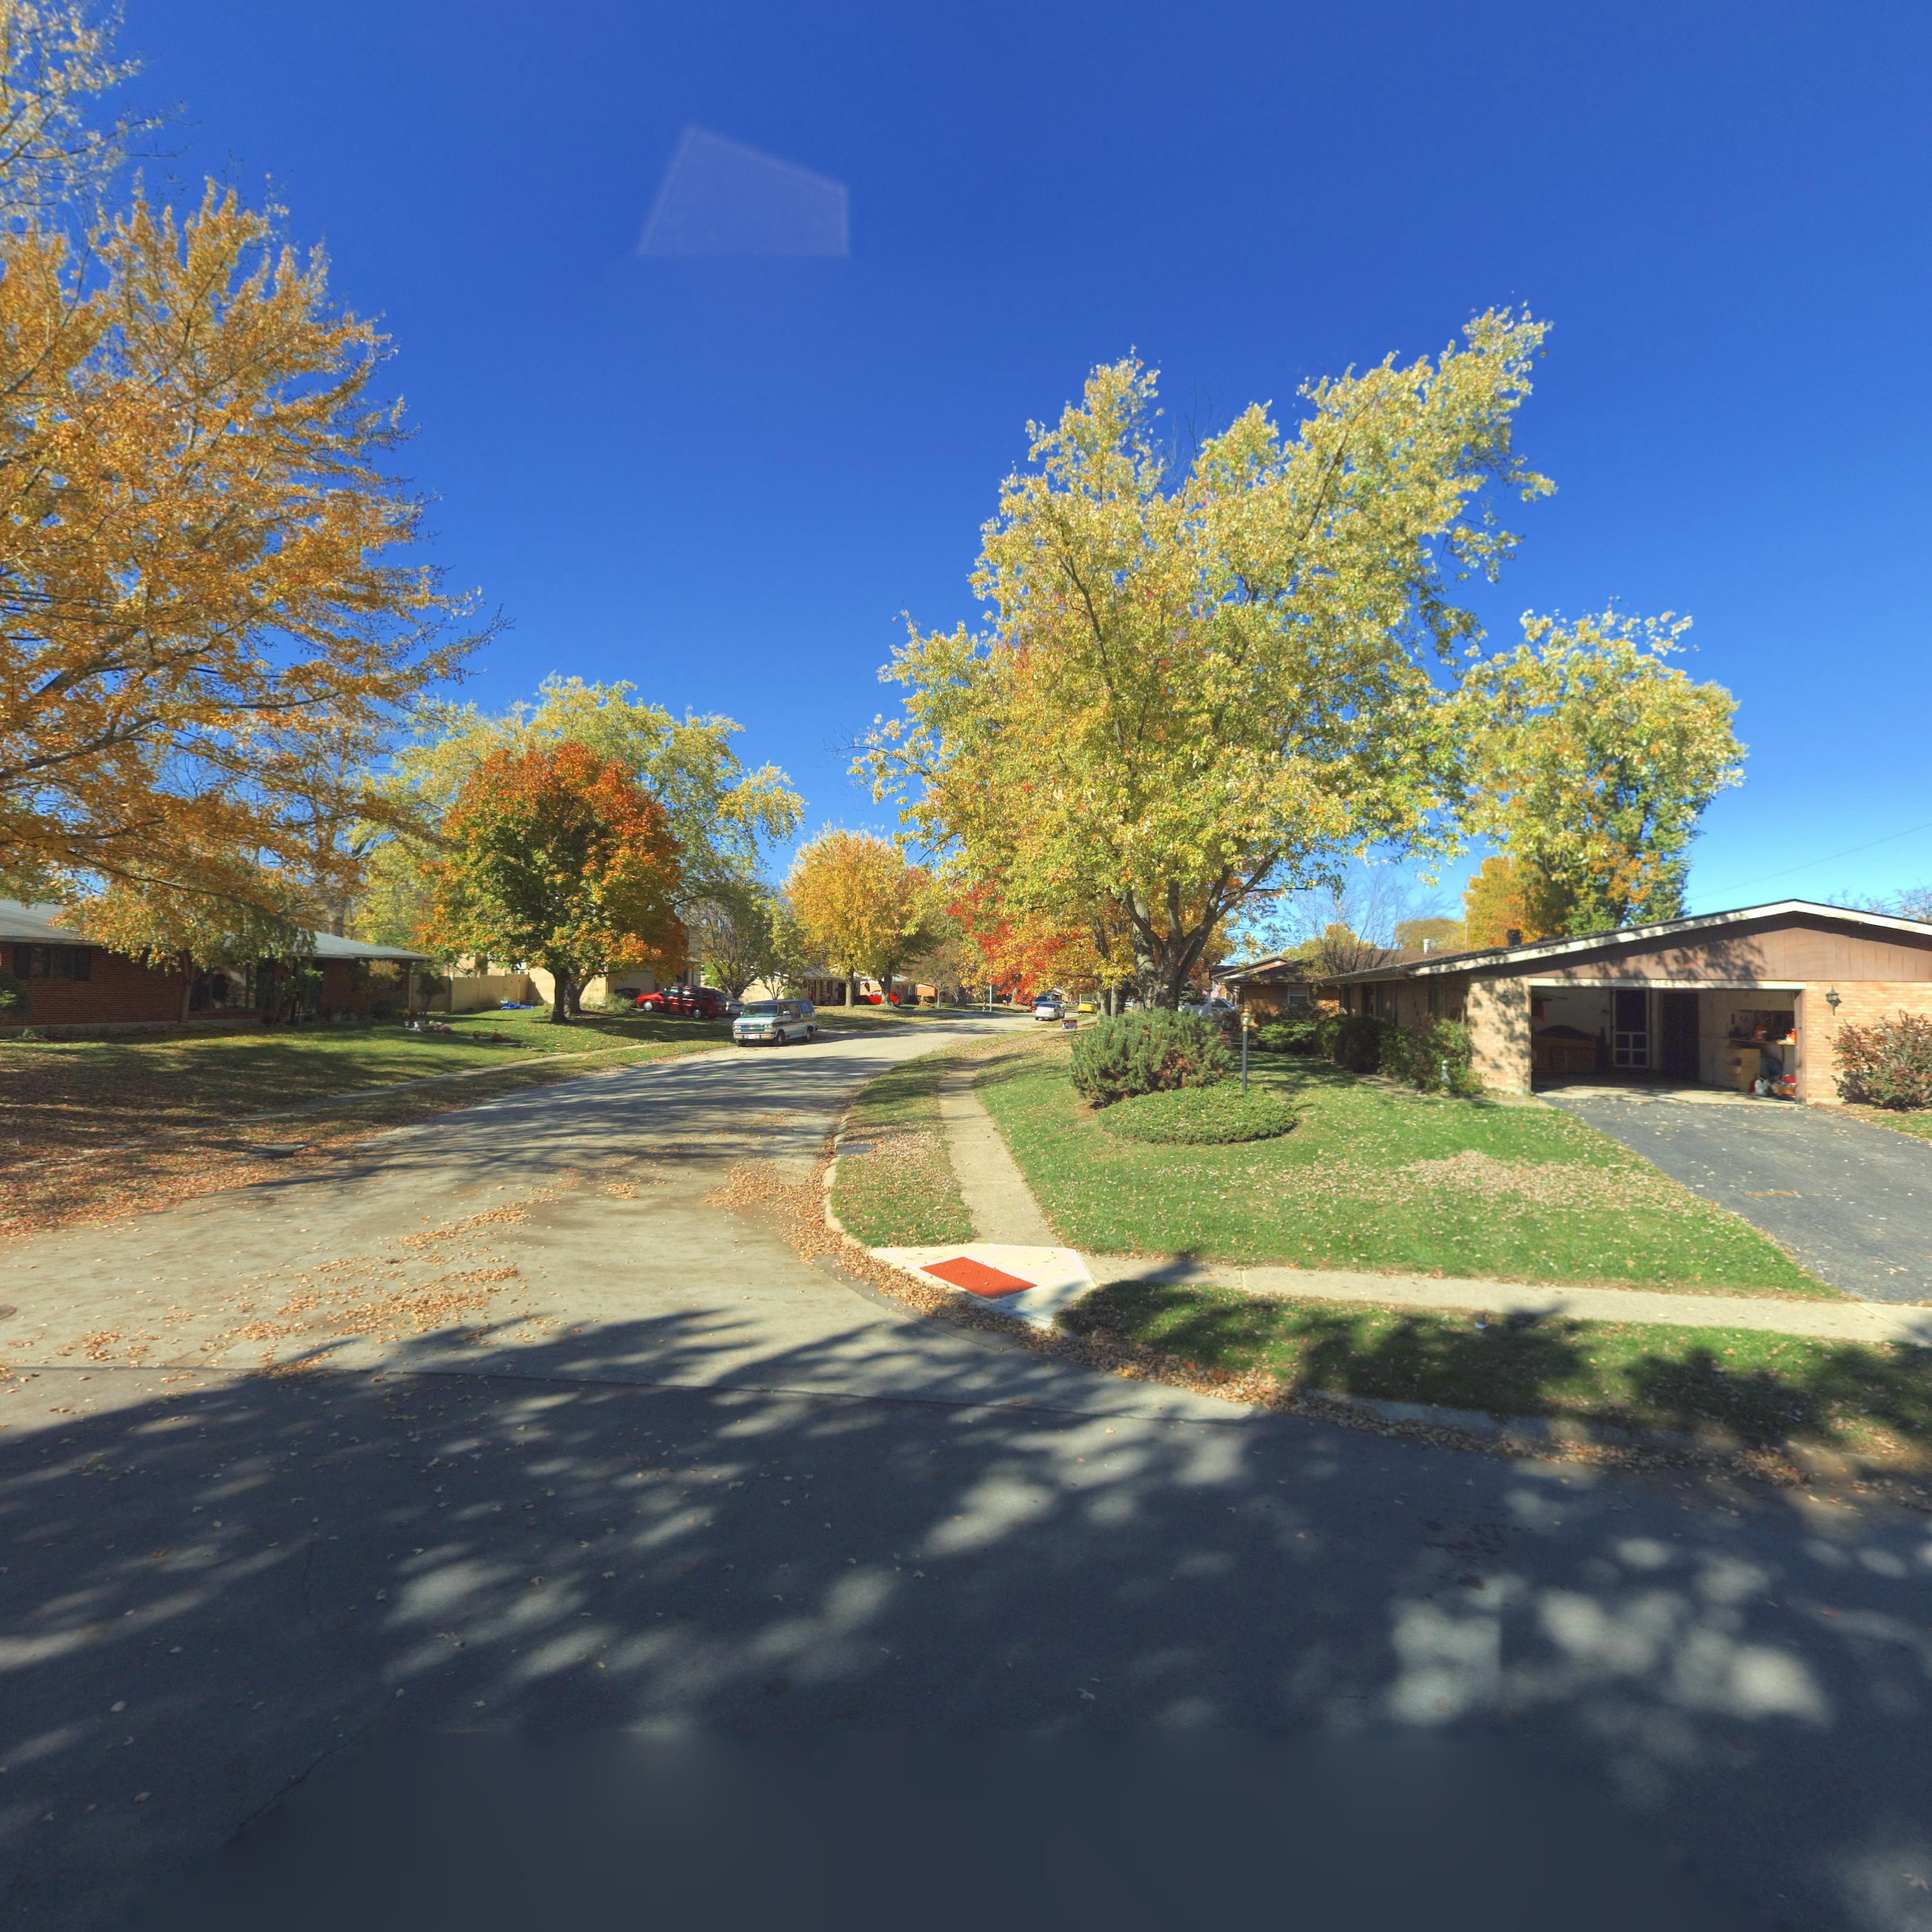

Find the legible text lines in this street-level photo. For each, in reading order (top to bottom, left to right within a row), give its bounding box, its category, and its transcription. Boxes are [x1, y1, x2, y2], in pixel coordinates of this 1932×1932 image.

[1648, 979, 1677, 987] StreetNumber: 1042
[1411, 990, 1422, 1026] StreetNumber: 10*2